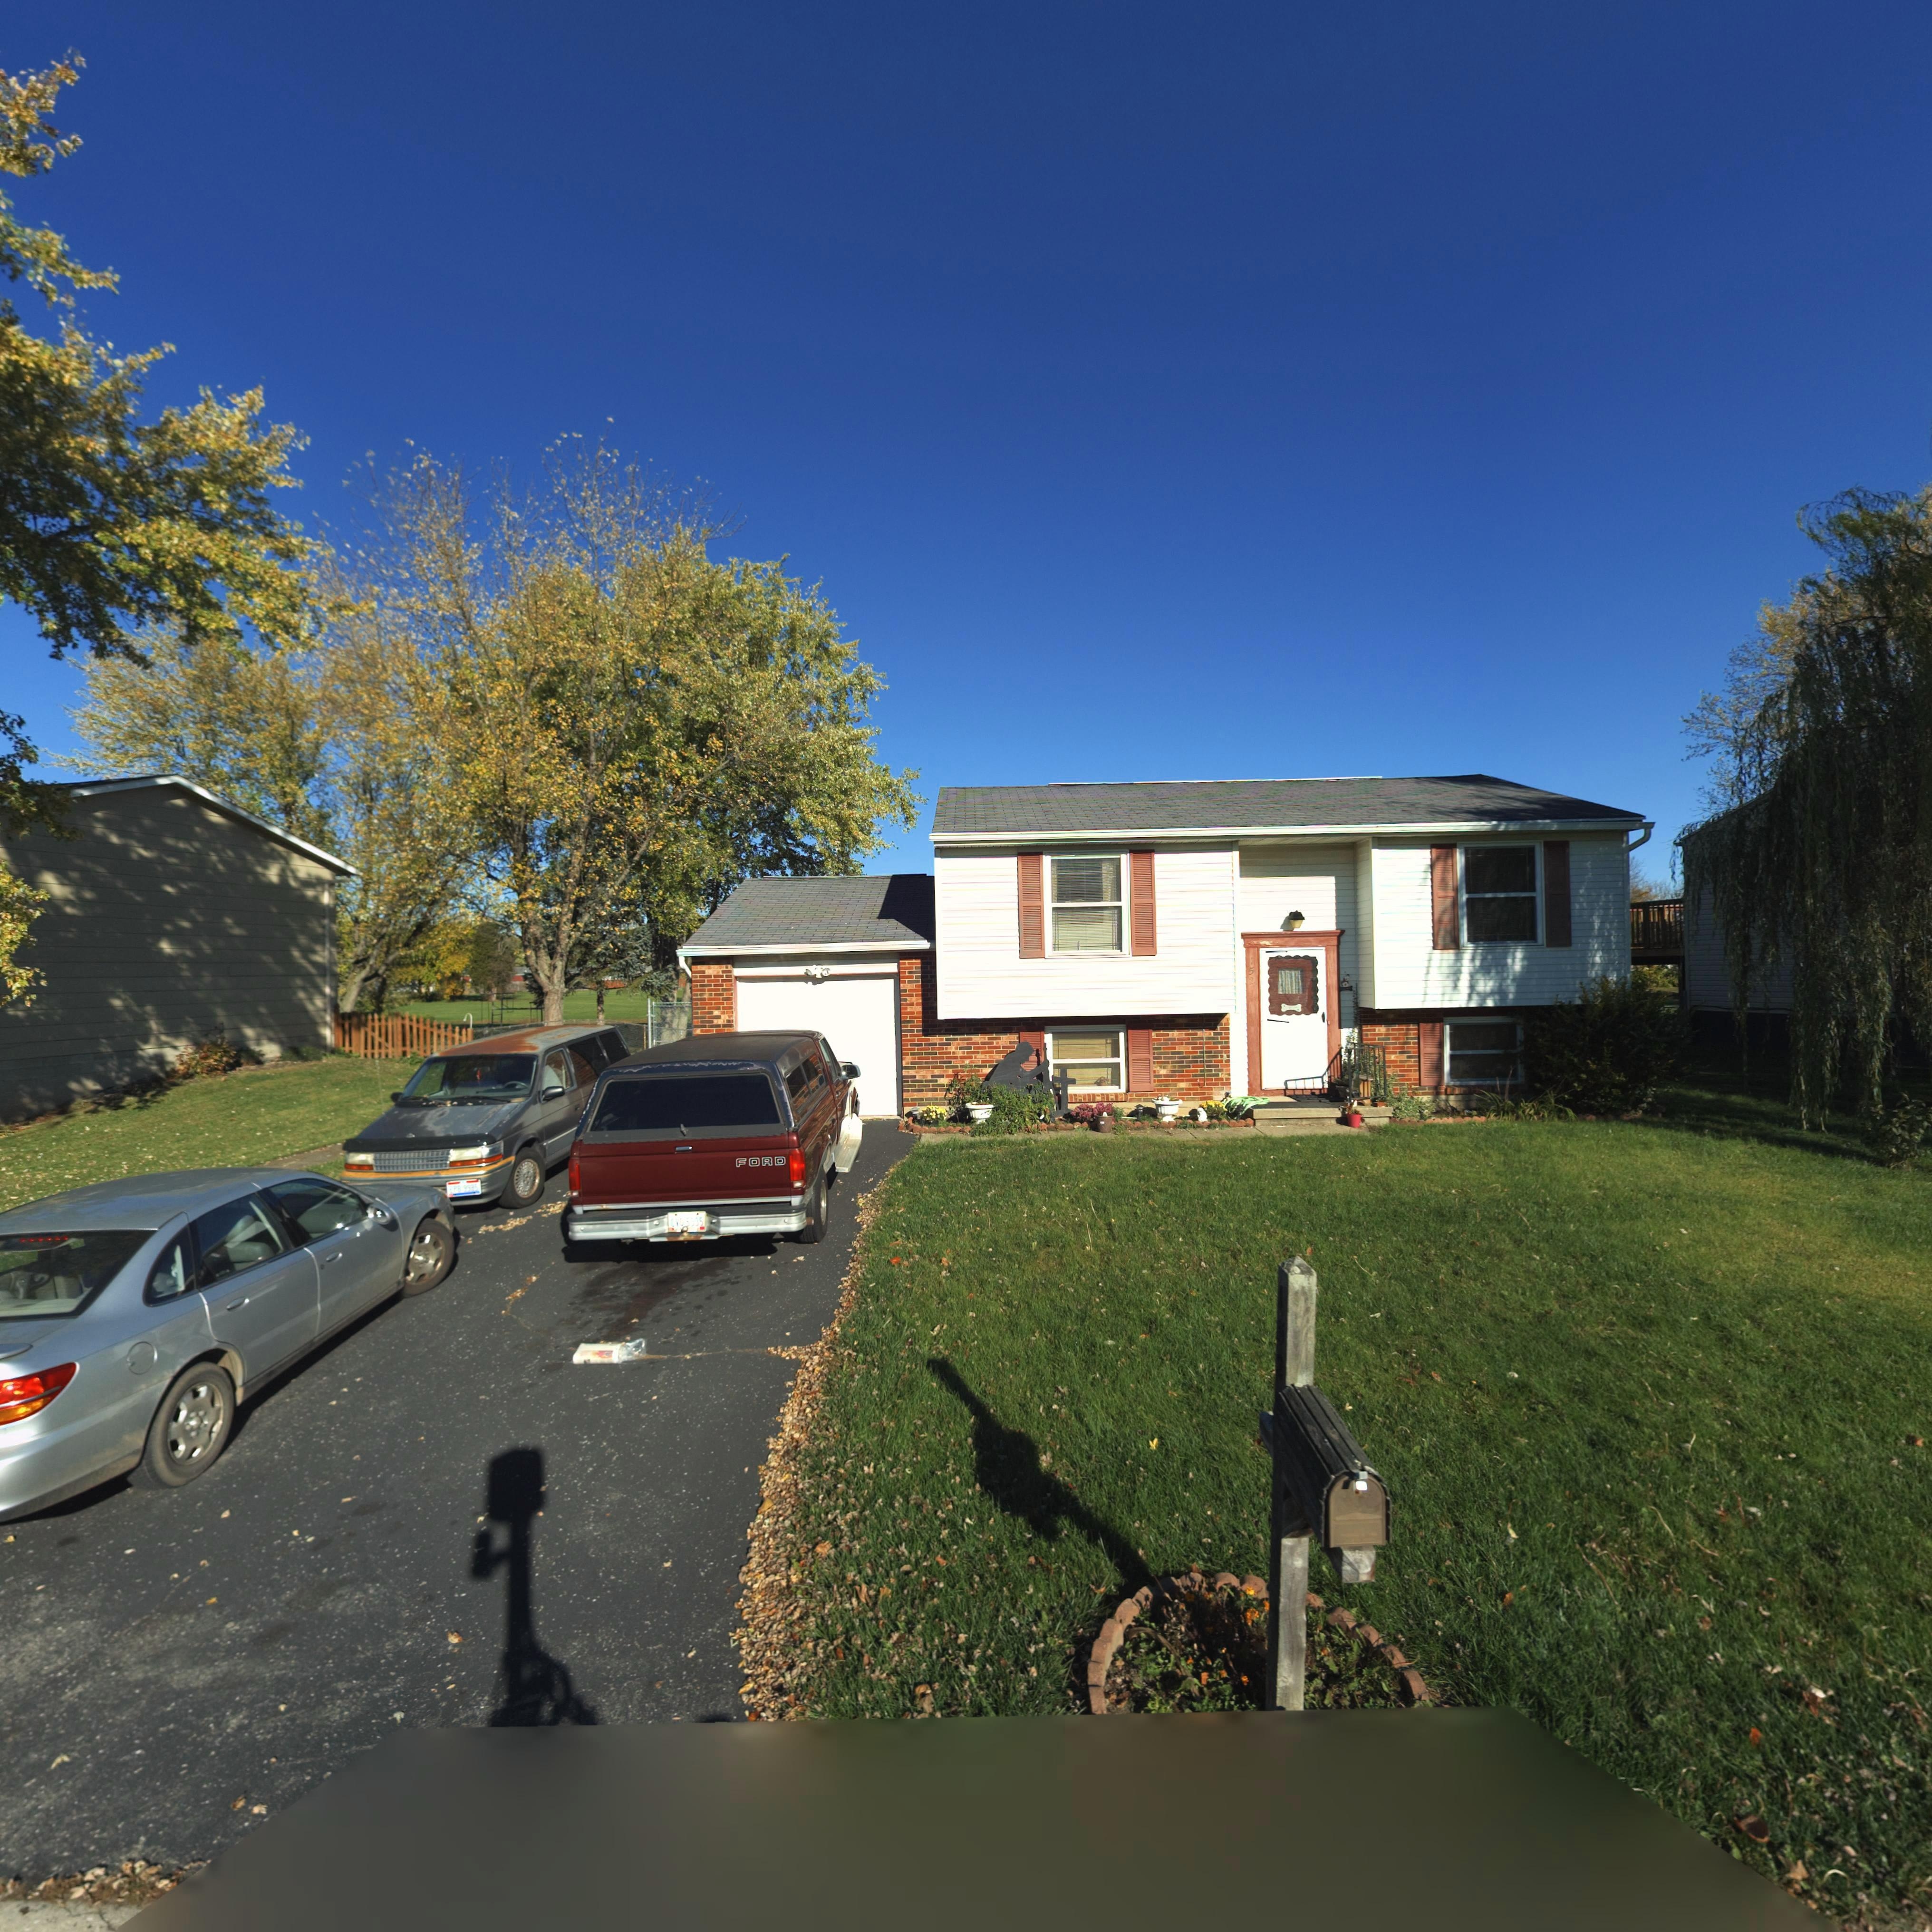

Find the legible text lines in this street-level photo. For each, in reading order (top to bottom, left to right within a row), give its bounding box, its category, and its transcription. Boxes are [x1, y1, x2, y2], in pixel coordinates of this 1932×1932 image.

[1248, 956, 1256, 985] StreetNumber: 152